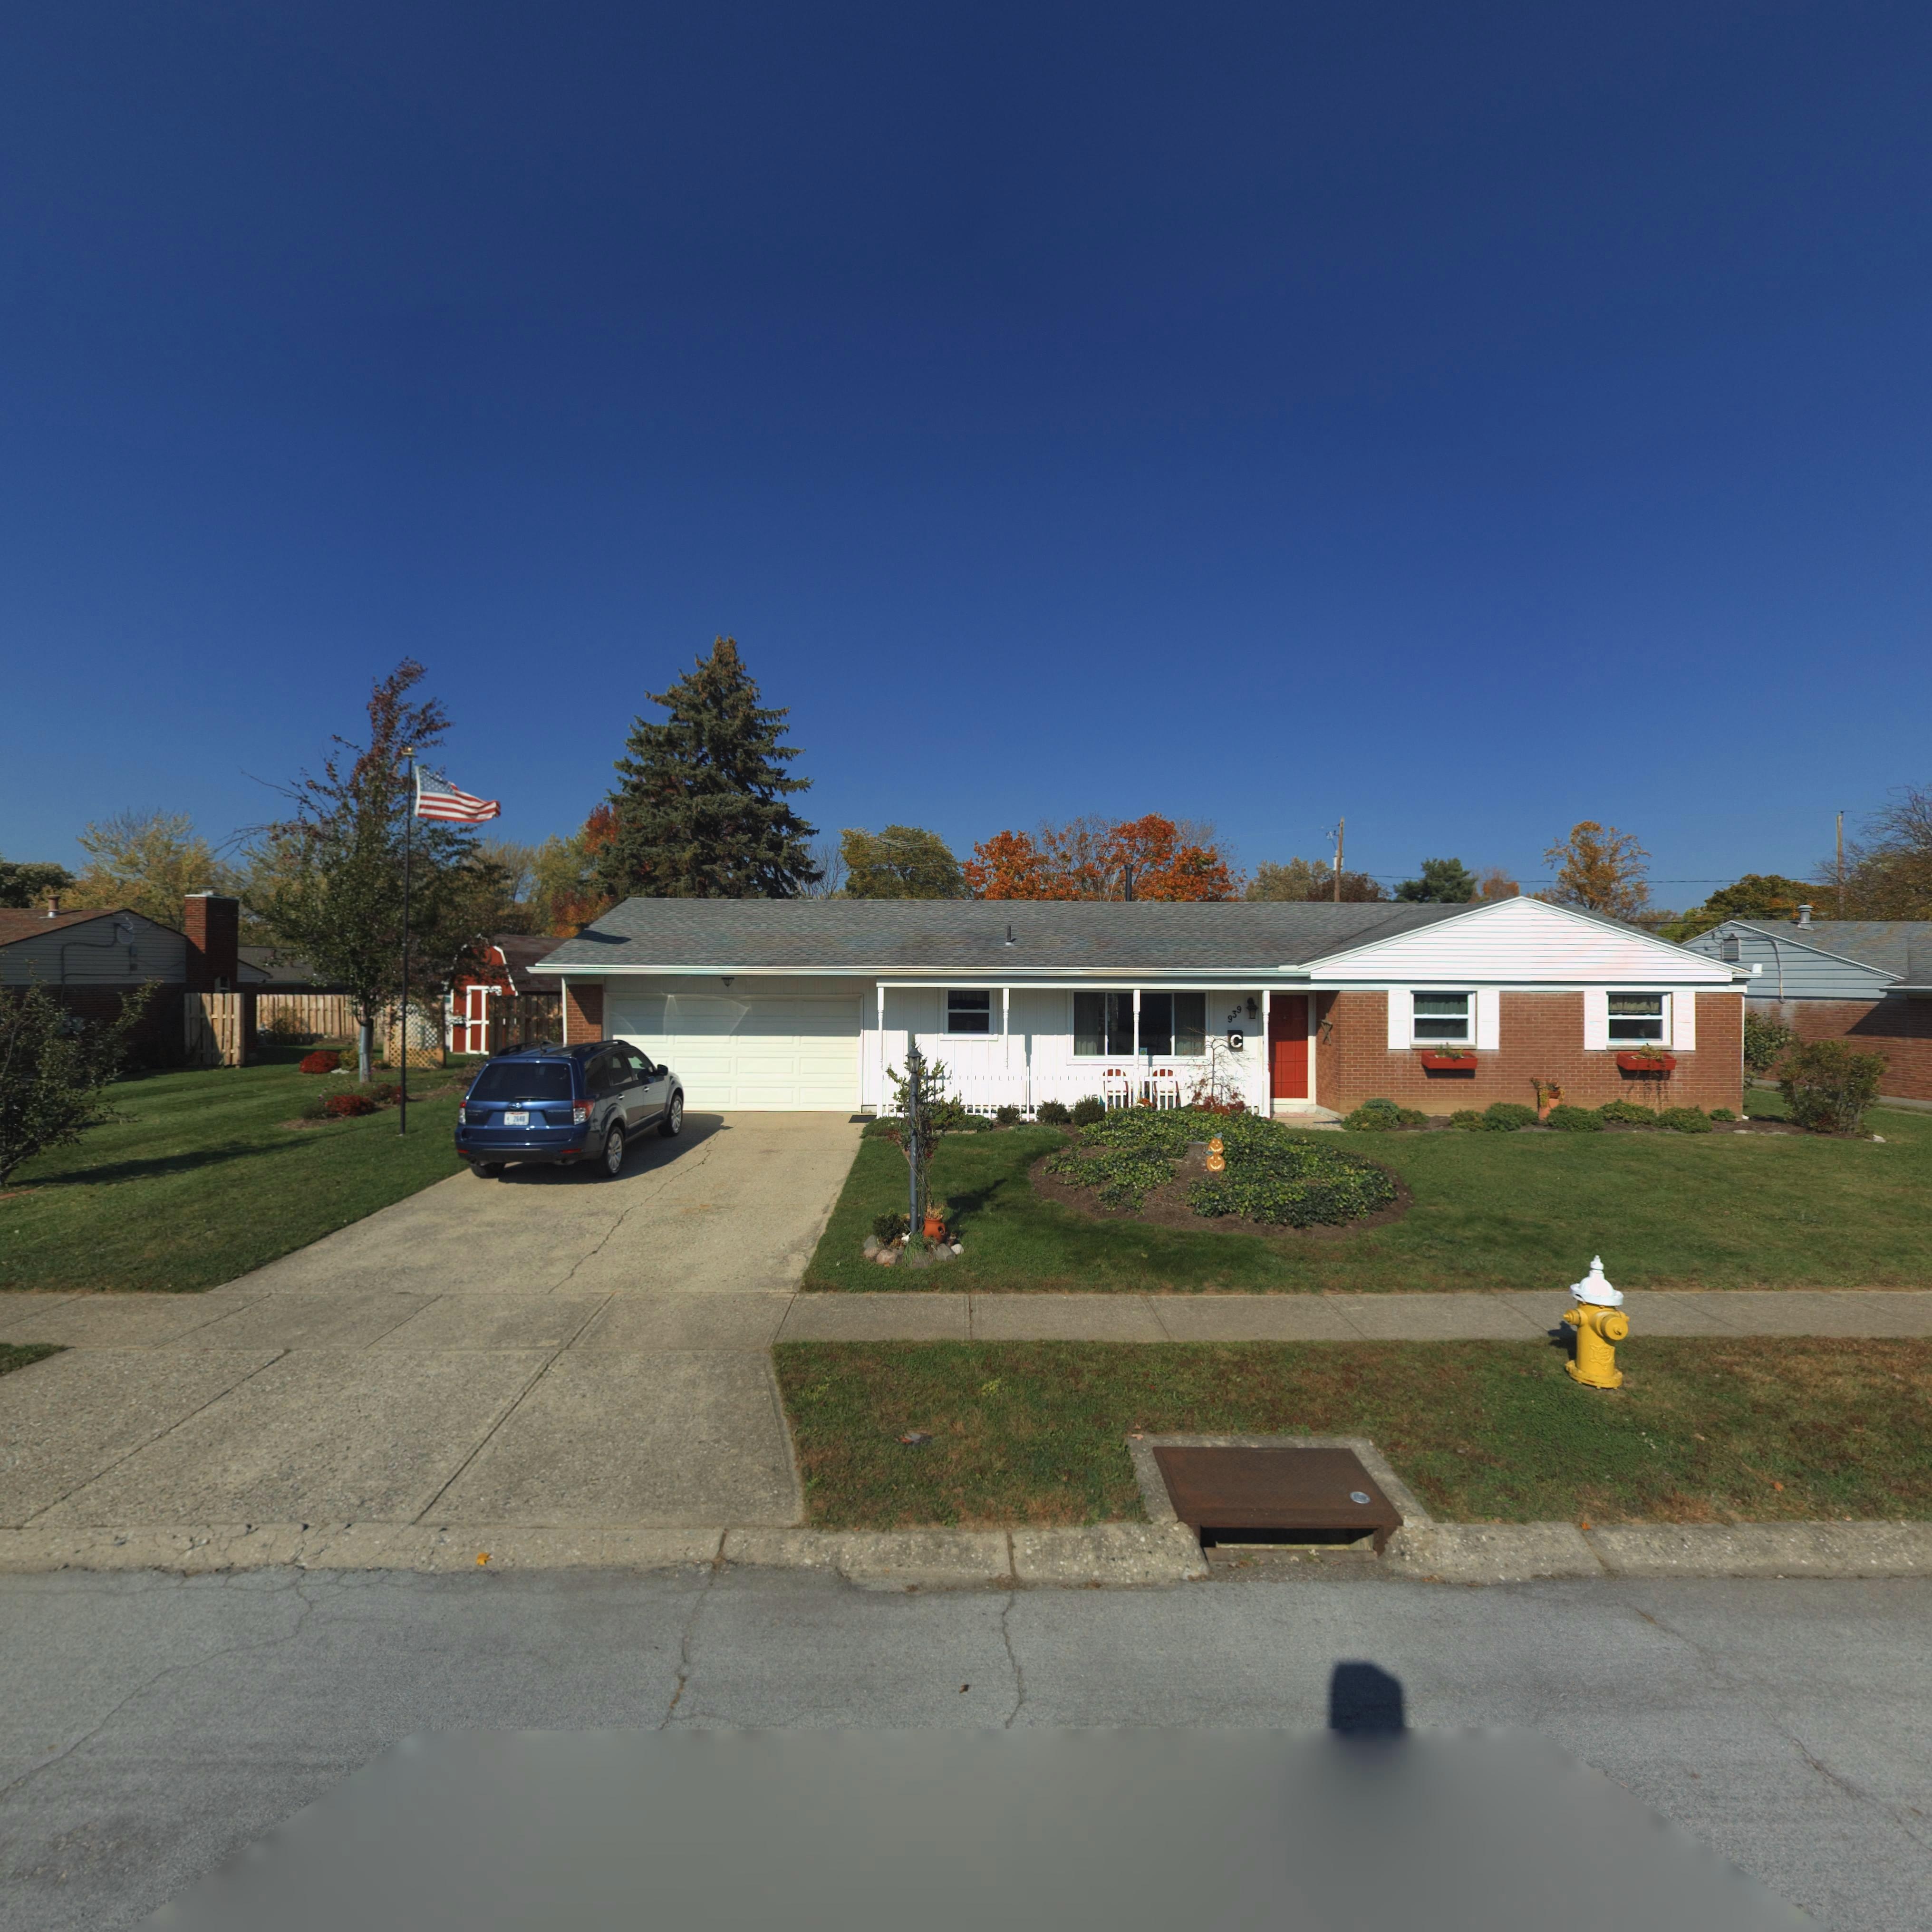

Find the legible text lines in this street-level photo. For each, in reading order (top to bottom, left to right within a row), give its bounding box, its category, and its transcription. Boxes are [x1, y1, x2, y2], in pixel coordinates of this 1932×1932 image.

[1227, 1005, 1242, 1024] StreetNumber: 939
[1229, 1033, 1243, 1050] None: C